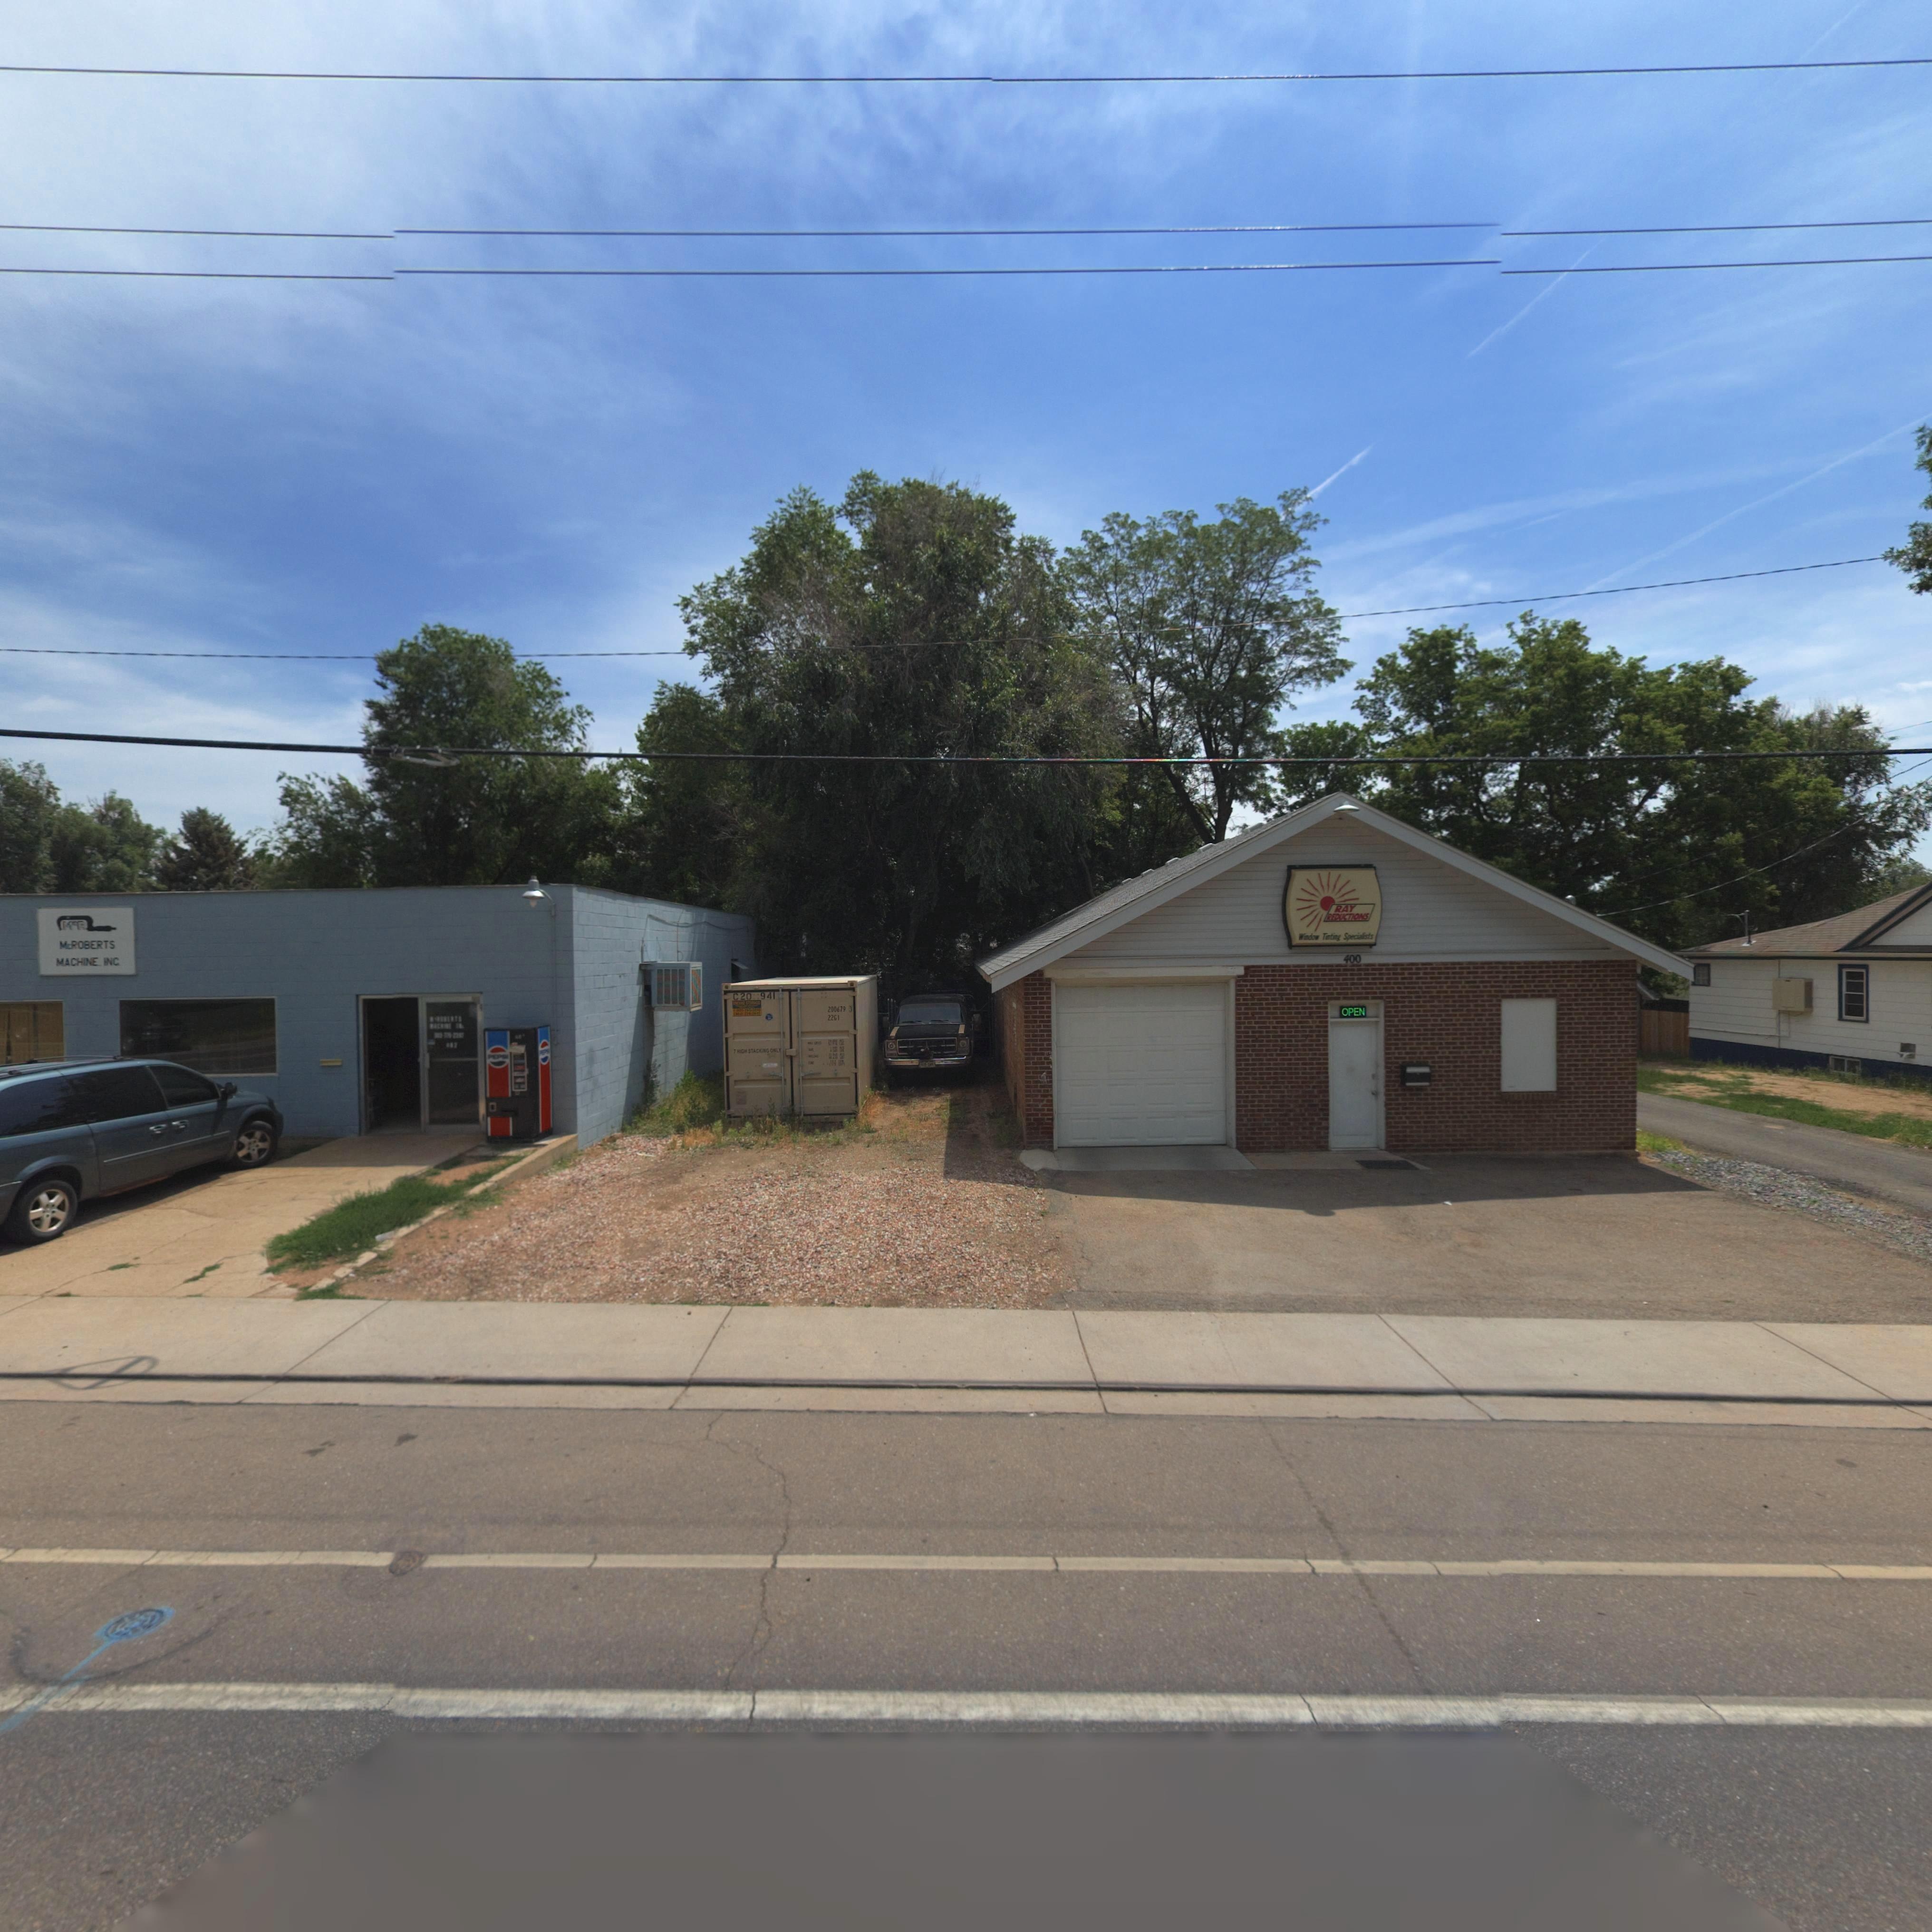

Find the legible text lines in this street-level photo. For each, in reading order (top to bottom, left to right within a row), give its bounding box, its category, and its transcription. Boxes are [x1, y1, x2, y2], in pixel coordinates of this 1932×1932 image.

[1333, 904, 1358, 913] BusinessName: RAY
[1325, 912, 1371, 920] BusinessName: REDUCTIONS
[61, 920, 87, 931] BusinessName: M*R
[58, 940, 116, 950] BusinessName: McROBERTS
[56, 956, 120, 966] BusinessName: MACHINE INC
[1343, 953, 1362, 964] StreetNumber: 400
[429, 1022, 465, 1031] BusinessName: *ACHINE INc